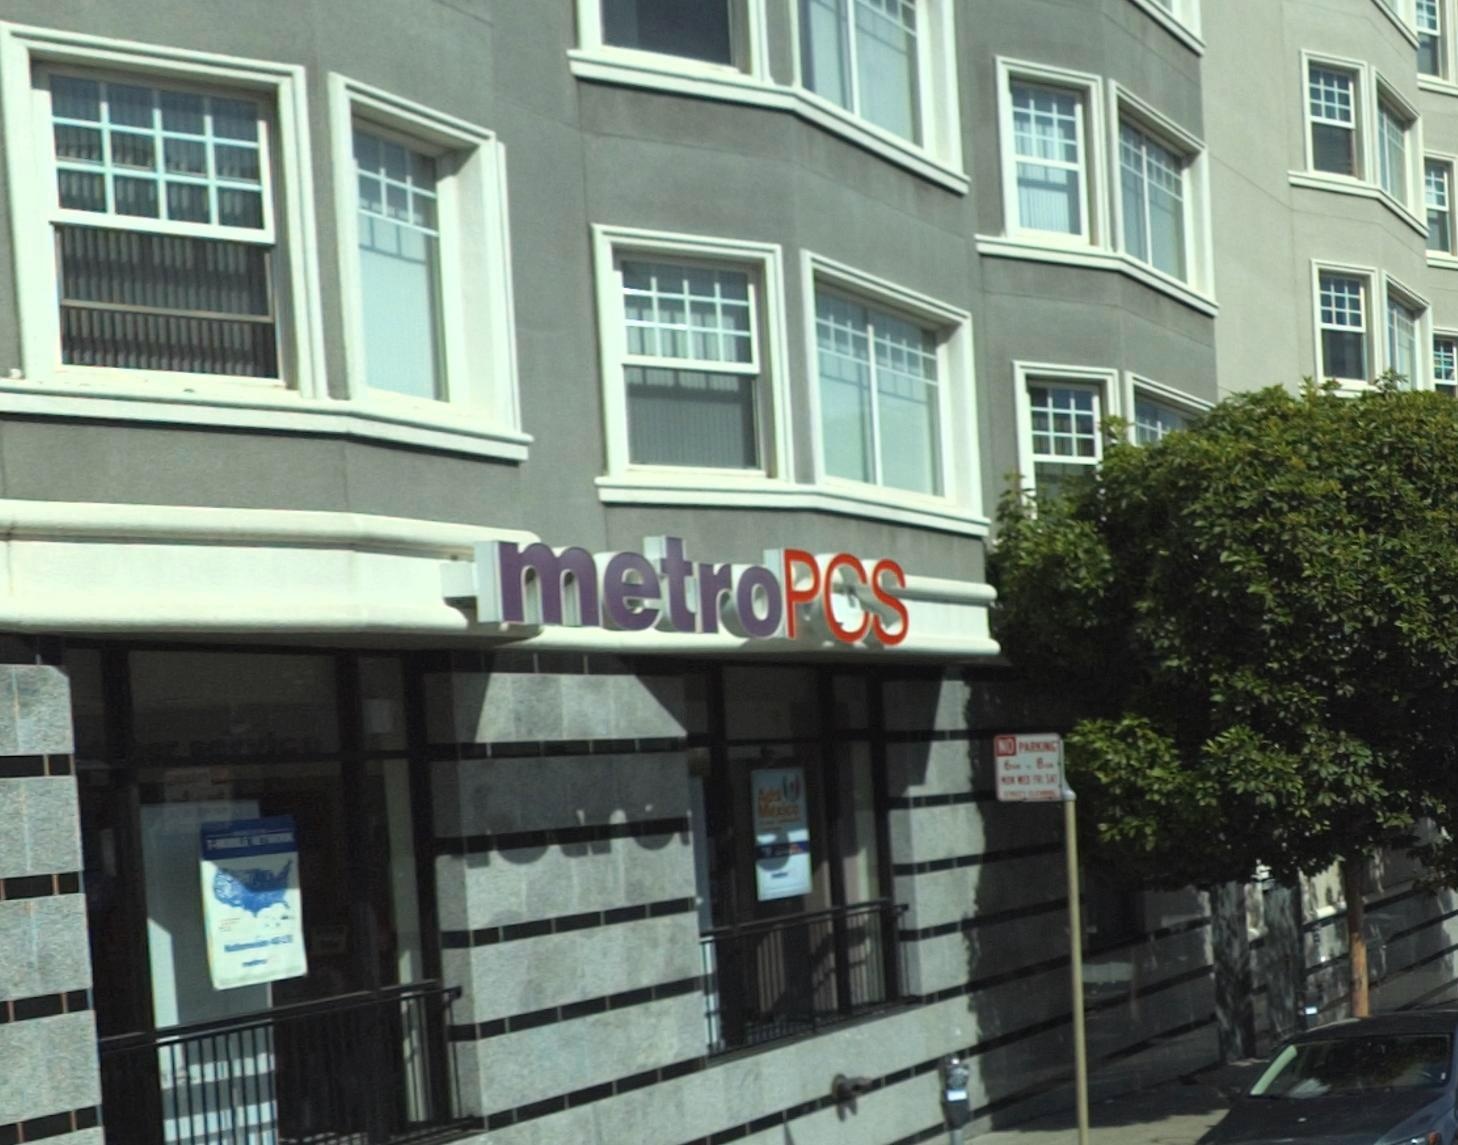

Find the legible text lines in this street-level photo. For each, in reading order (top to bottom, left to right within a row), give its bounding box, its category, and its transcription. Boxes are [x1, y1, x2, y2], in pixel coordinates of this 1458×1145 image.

[495, 533, 910, 646] BusinessName: metroPCS
[994, 737, 1059, 754] None: NO PARKING
[755, 799, 804, 822] None: Mexico